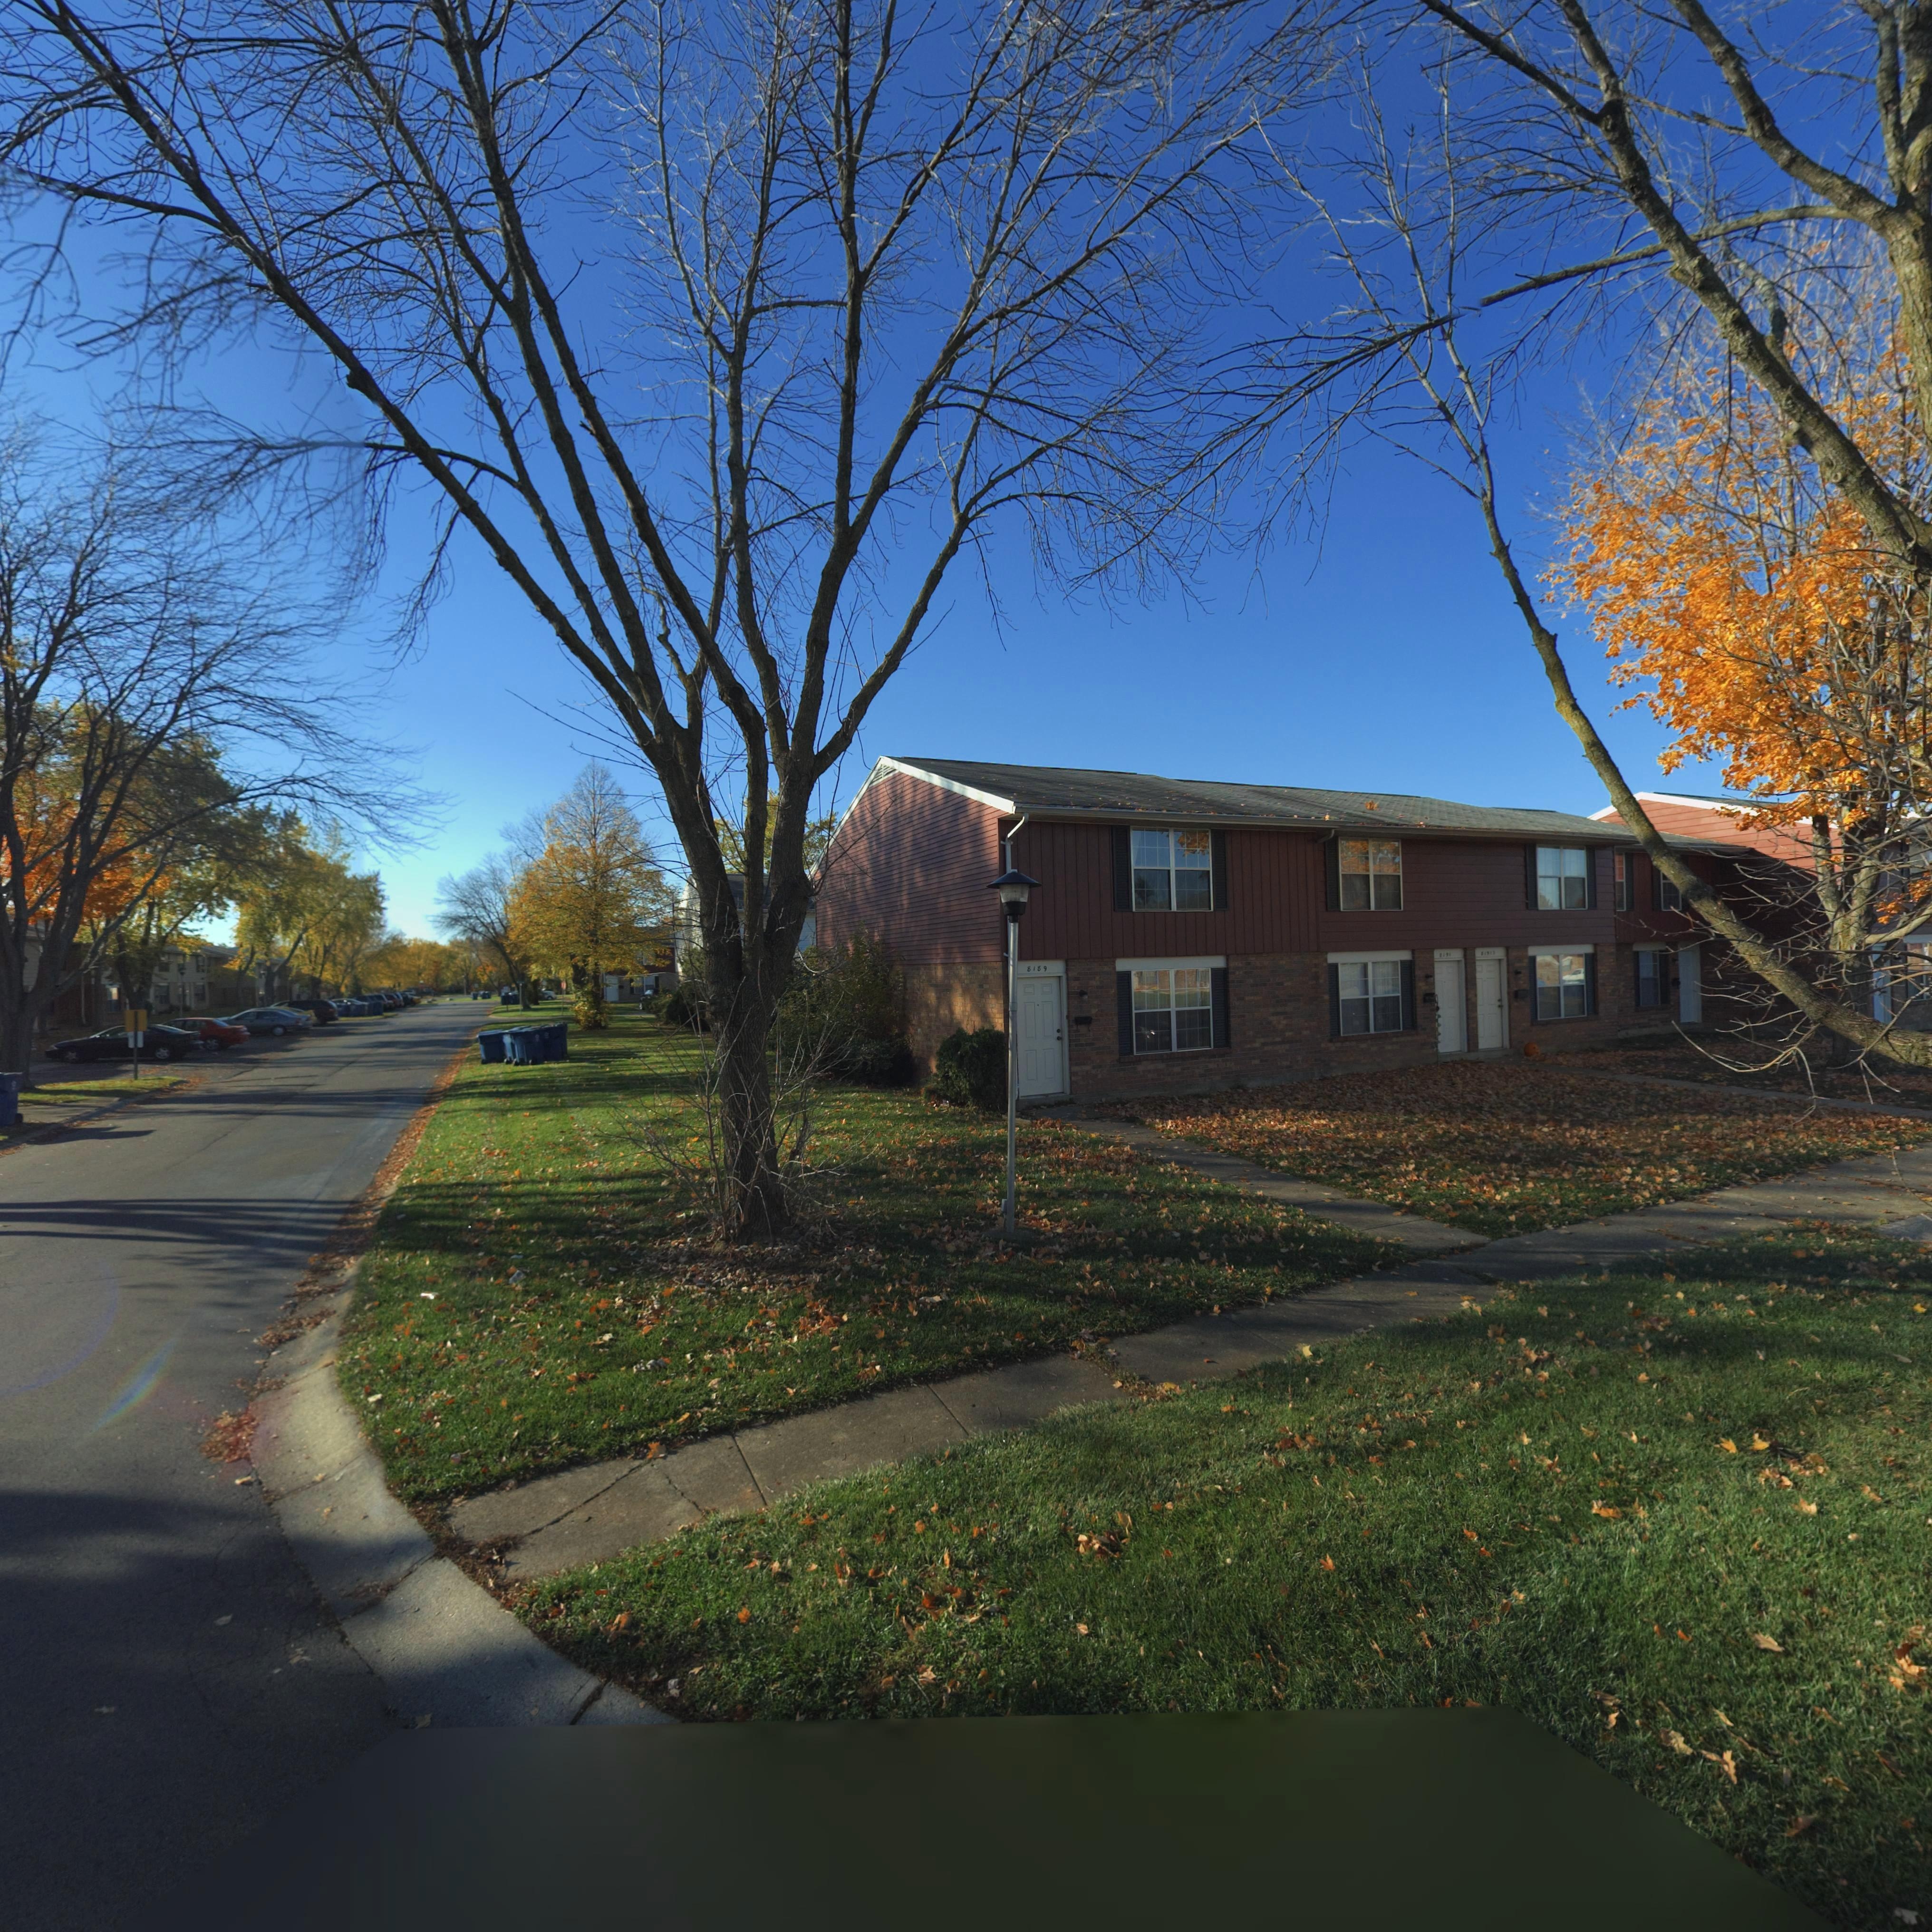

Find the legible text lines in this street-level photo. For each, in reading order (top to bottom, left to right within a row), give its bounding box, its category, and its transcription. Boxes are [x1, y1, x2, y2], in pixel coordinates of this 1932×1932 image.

[1439, 952, 1451, 958] StreetNumber: 8191
[1480, 950, 1496, 956] StreetNumber: 819*3
[1026, 965, 1048, 973] StreetNumber: 8189